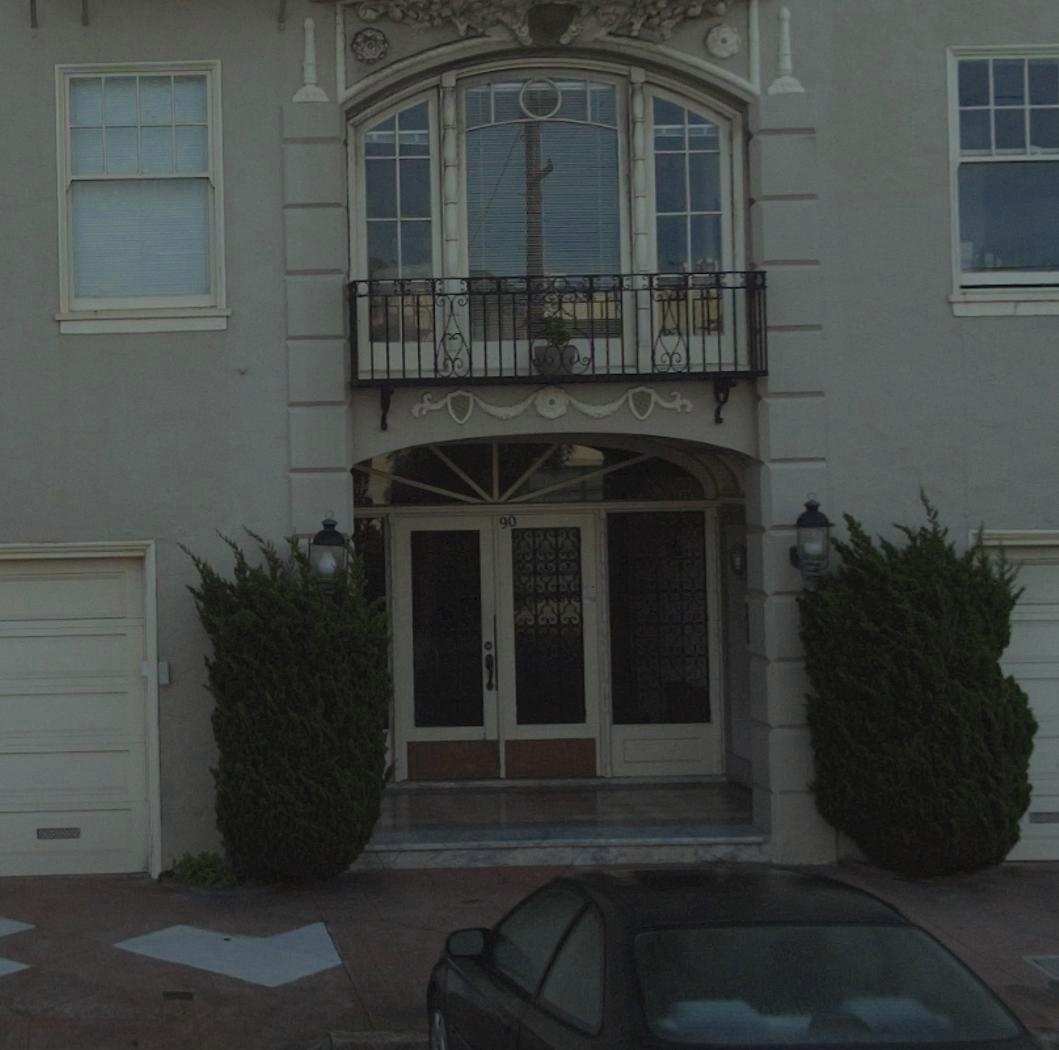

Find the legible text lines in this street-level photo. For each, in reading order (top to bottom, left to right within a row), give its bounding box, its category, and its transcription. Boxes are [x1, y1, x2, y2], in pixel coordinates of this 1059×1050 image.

[497, 512, 520, 533] StreetNumber: 90